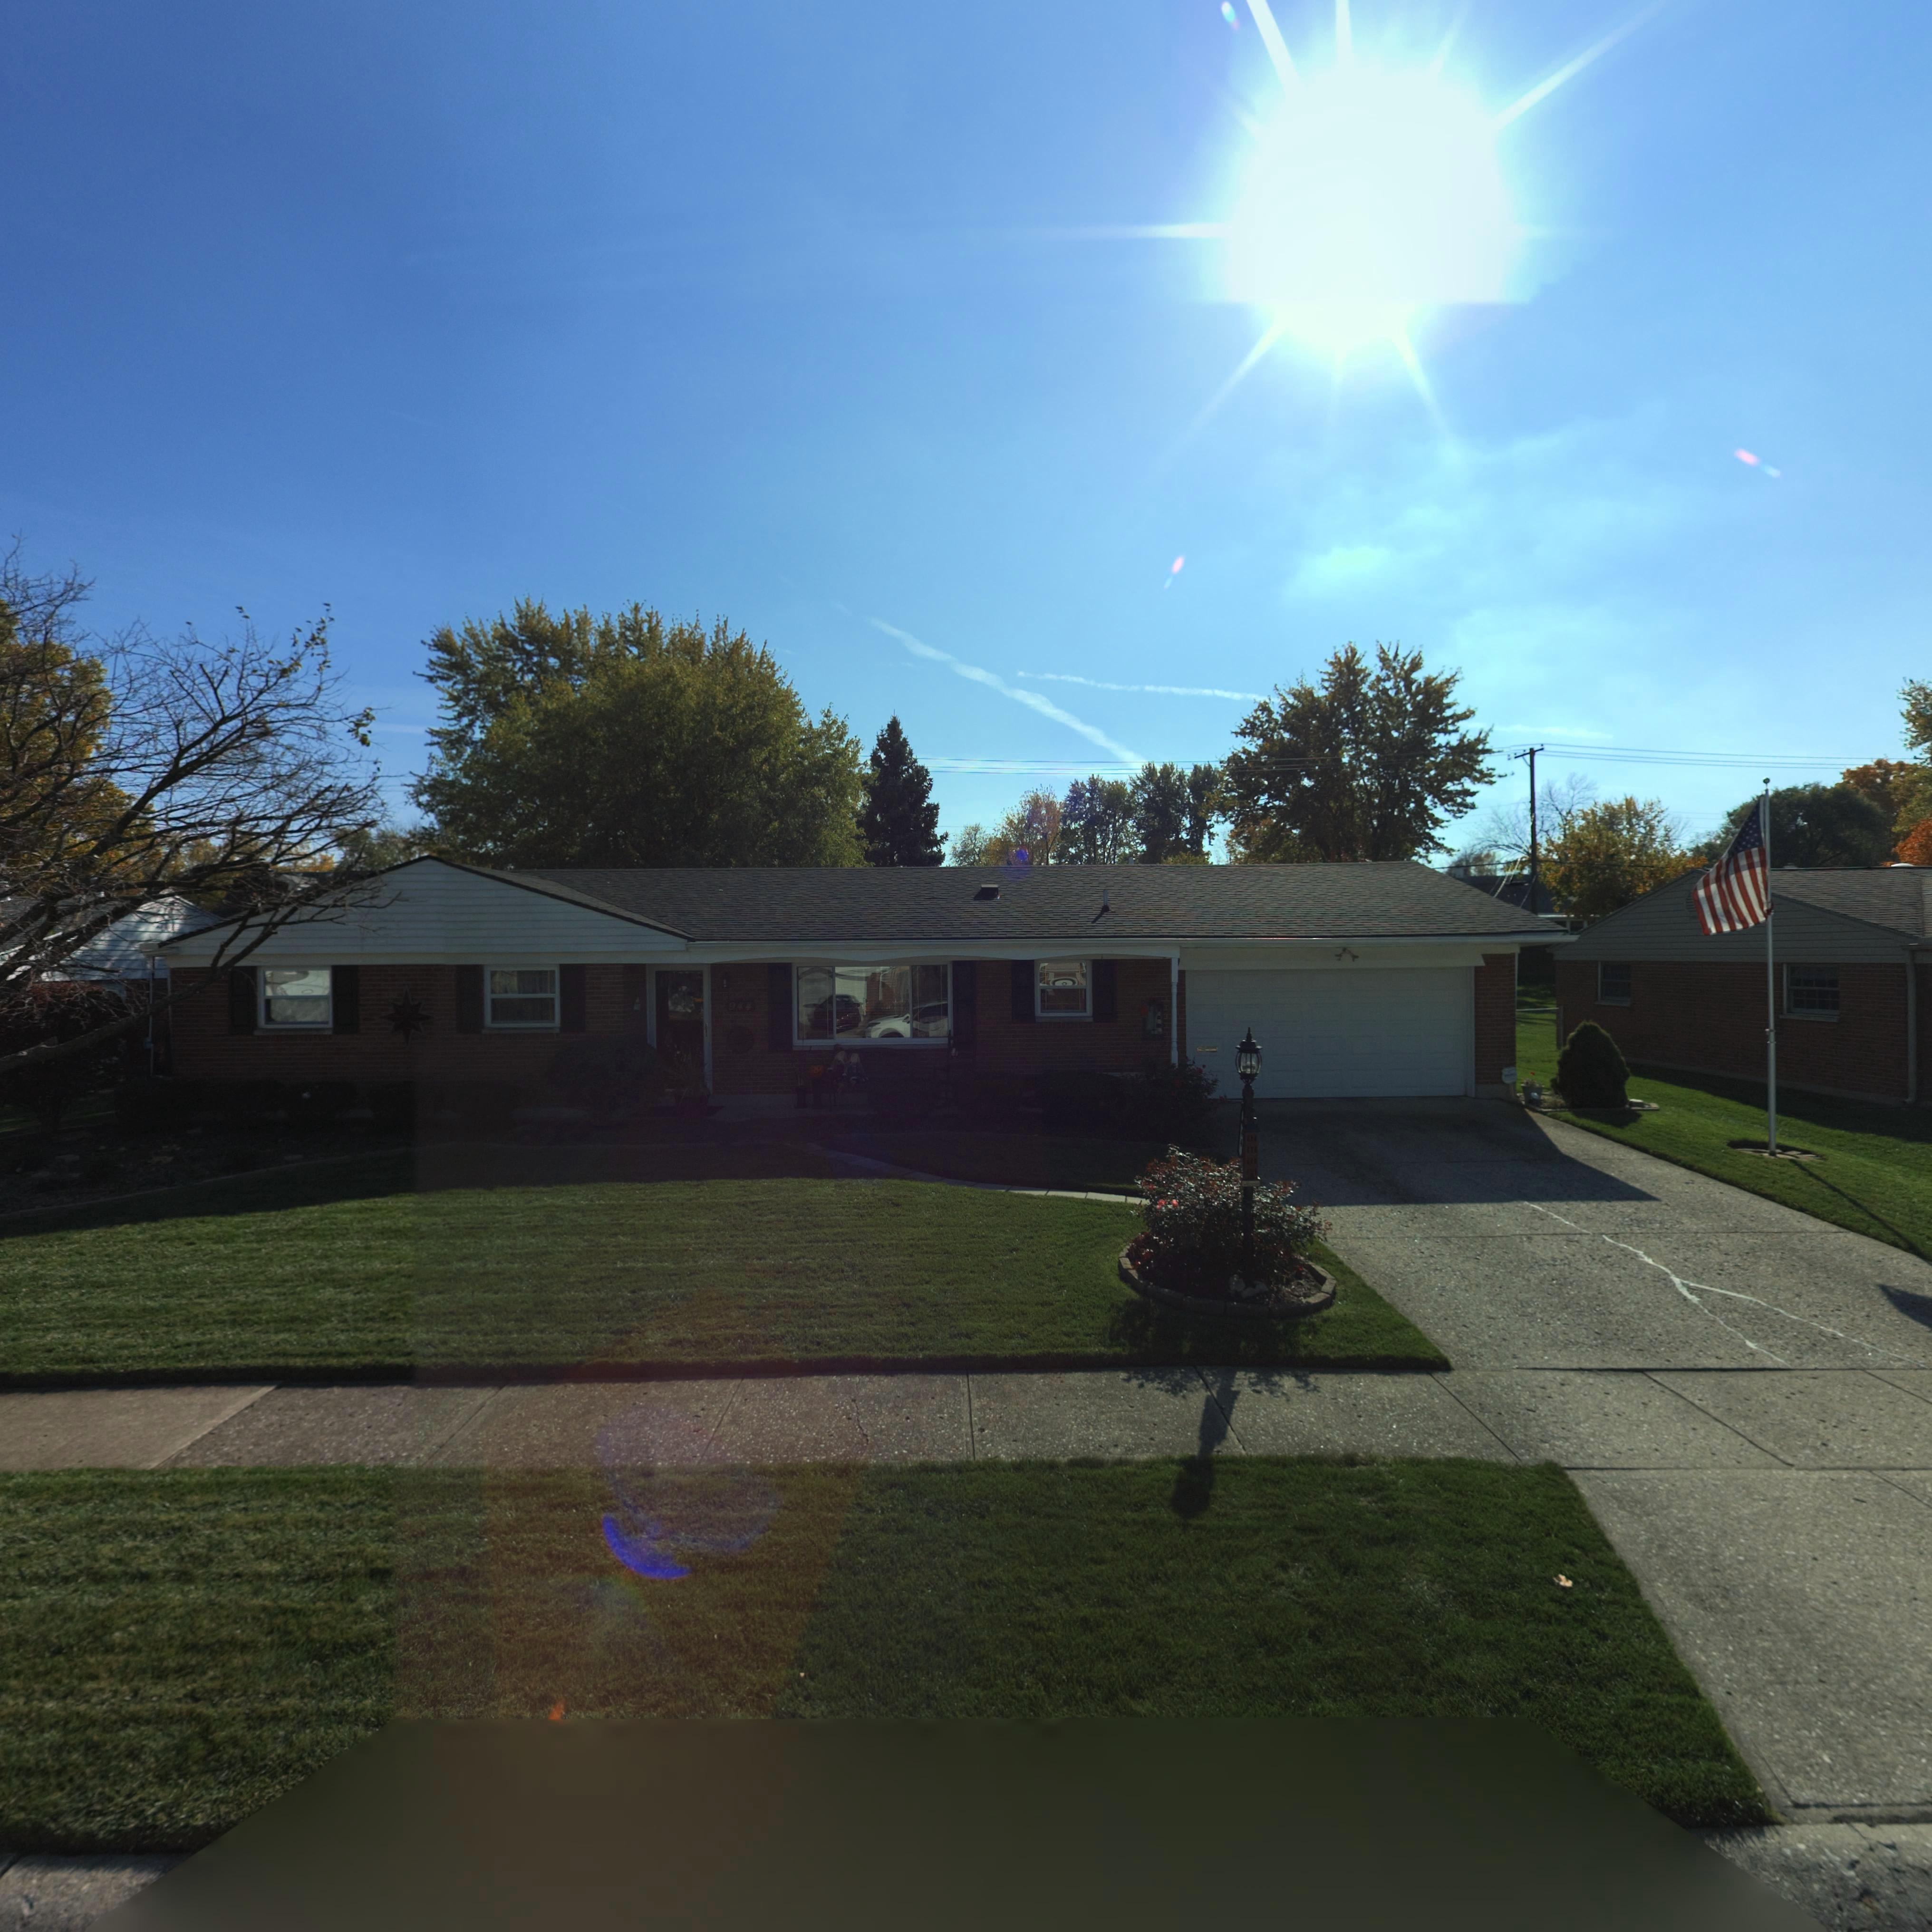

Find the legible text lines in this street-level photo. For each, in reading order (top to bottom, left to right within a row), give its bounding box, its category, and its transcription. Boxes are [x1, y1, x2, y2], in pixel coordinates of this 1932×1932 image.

[728, 1001, 753, 1011] StreetNumber: 944